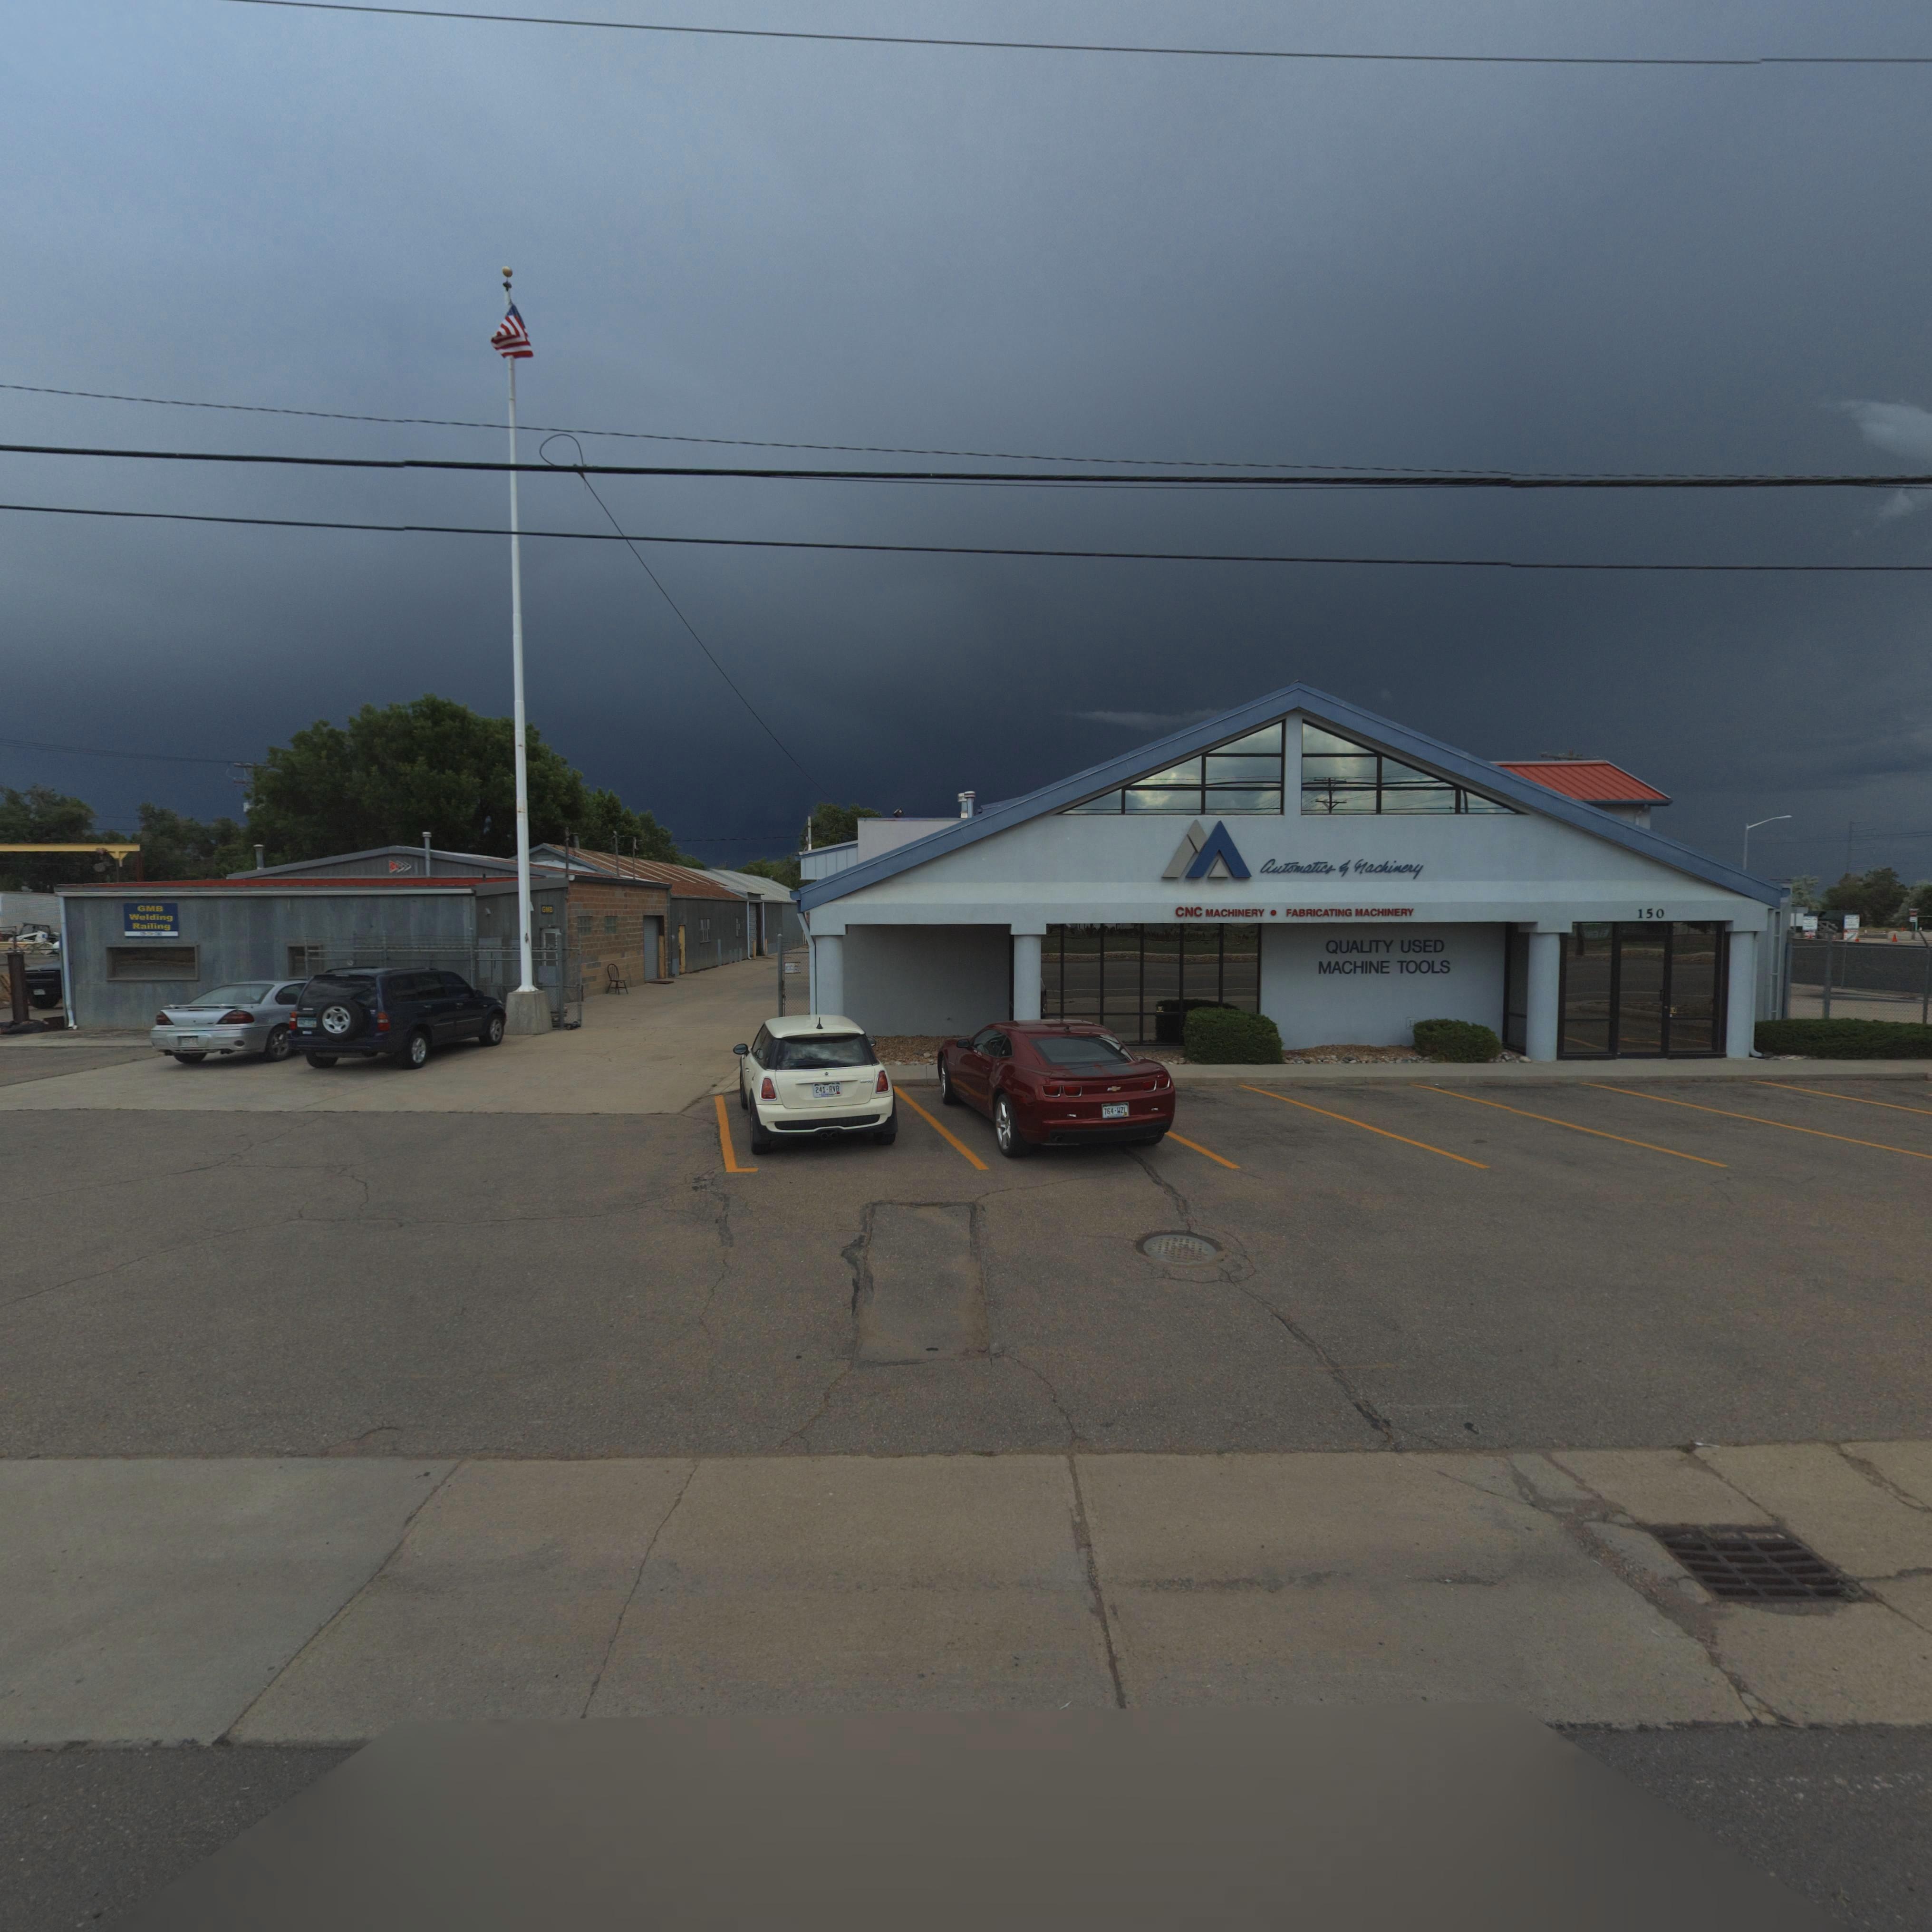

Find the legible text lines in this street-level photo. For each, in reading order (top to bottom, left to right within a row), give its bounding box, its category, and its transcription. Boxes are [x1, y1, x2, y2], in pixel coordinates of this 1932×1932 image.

[1259, 856, 1425, 880] BusinessName: *uTomaTic* * *achine*y
[136, 905, 164, 912] BusinessName: GMB
[541, 906, 553, 912] BusinessName: GMB
[1637, 907, 1665, 919] StreetNumber: 150
[128, 914, 174, 922] BusinessName: Welding
[132, 922, 171, 931] BusinessName: Railing